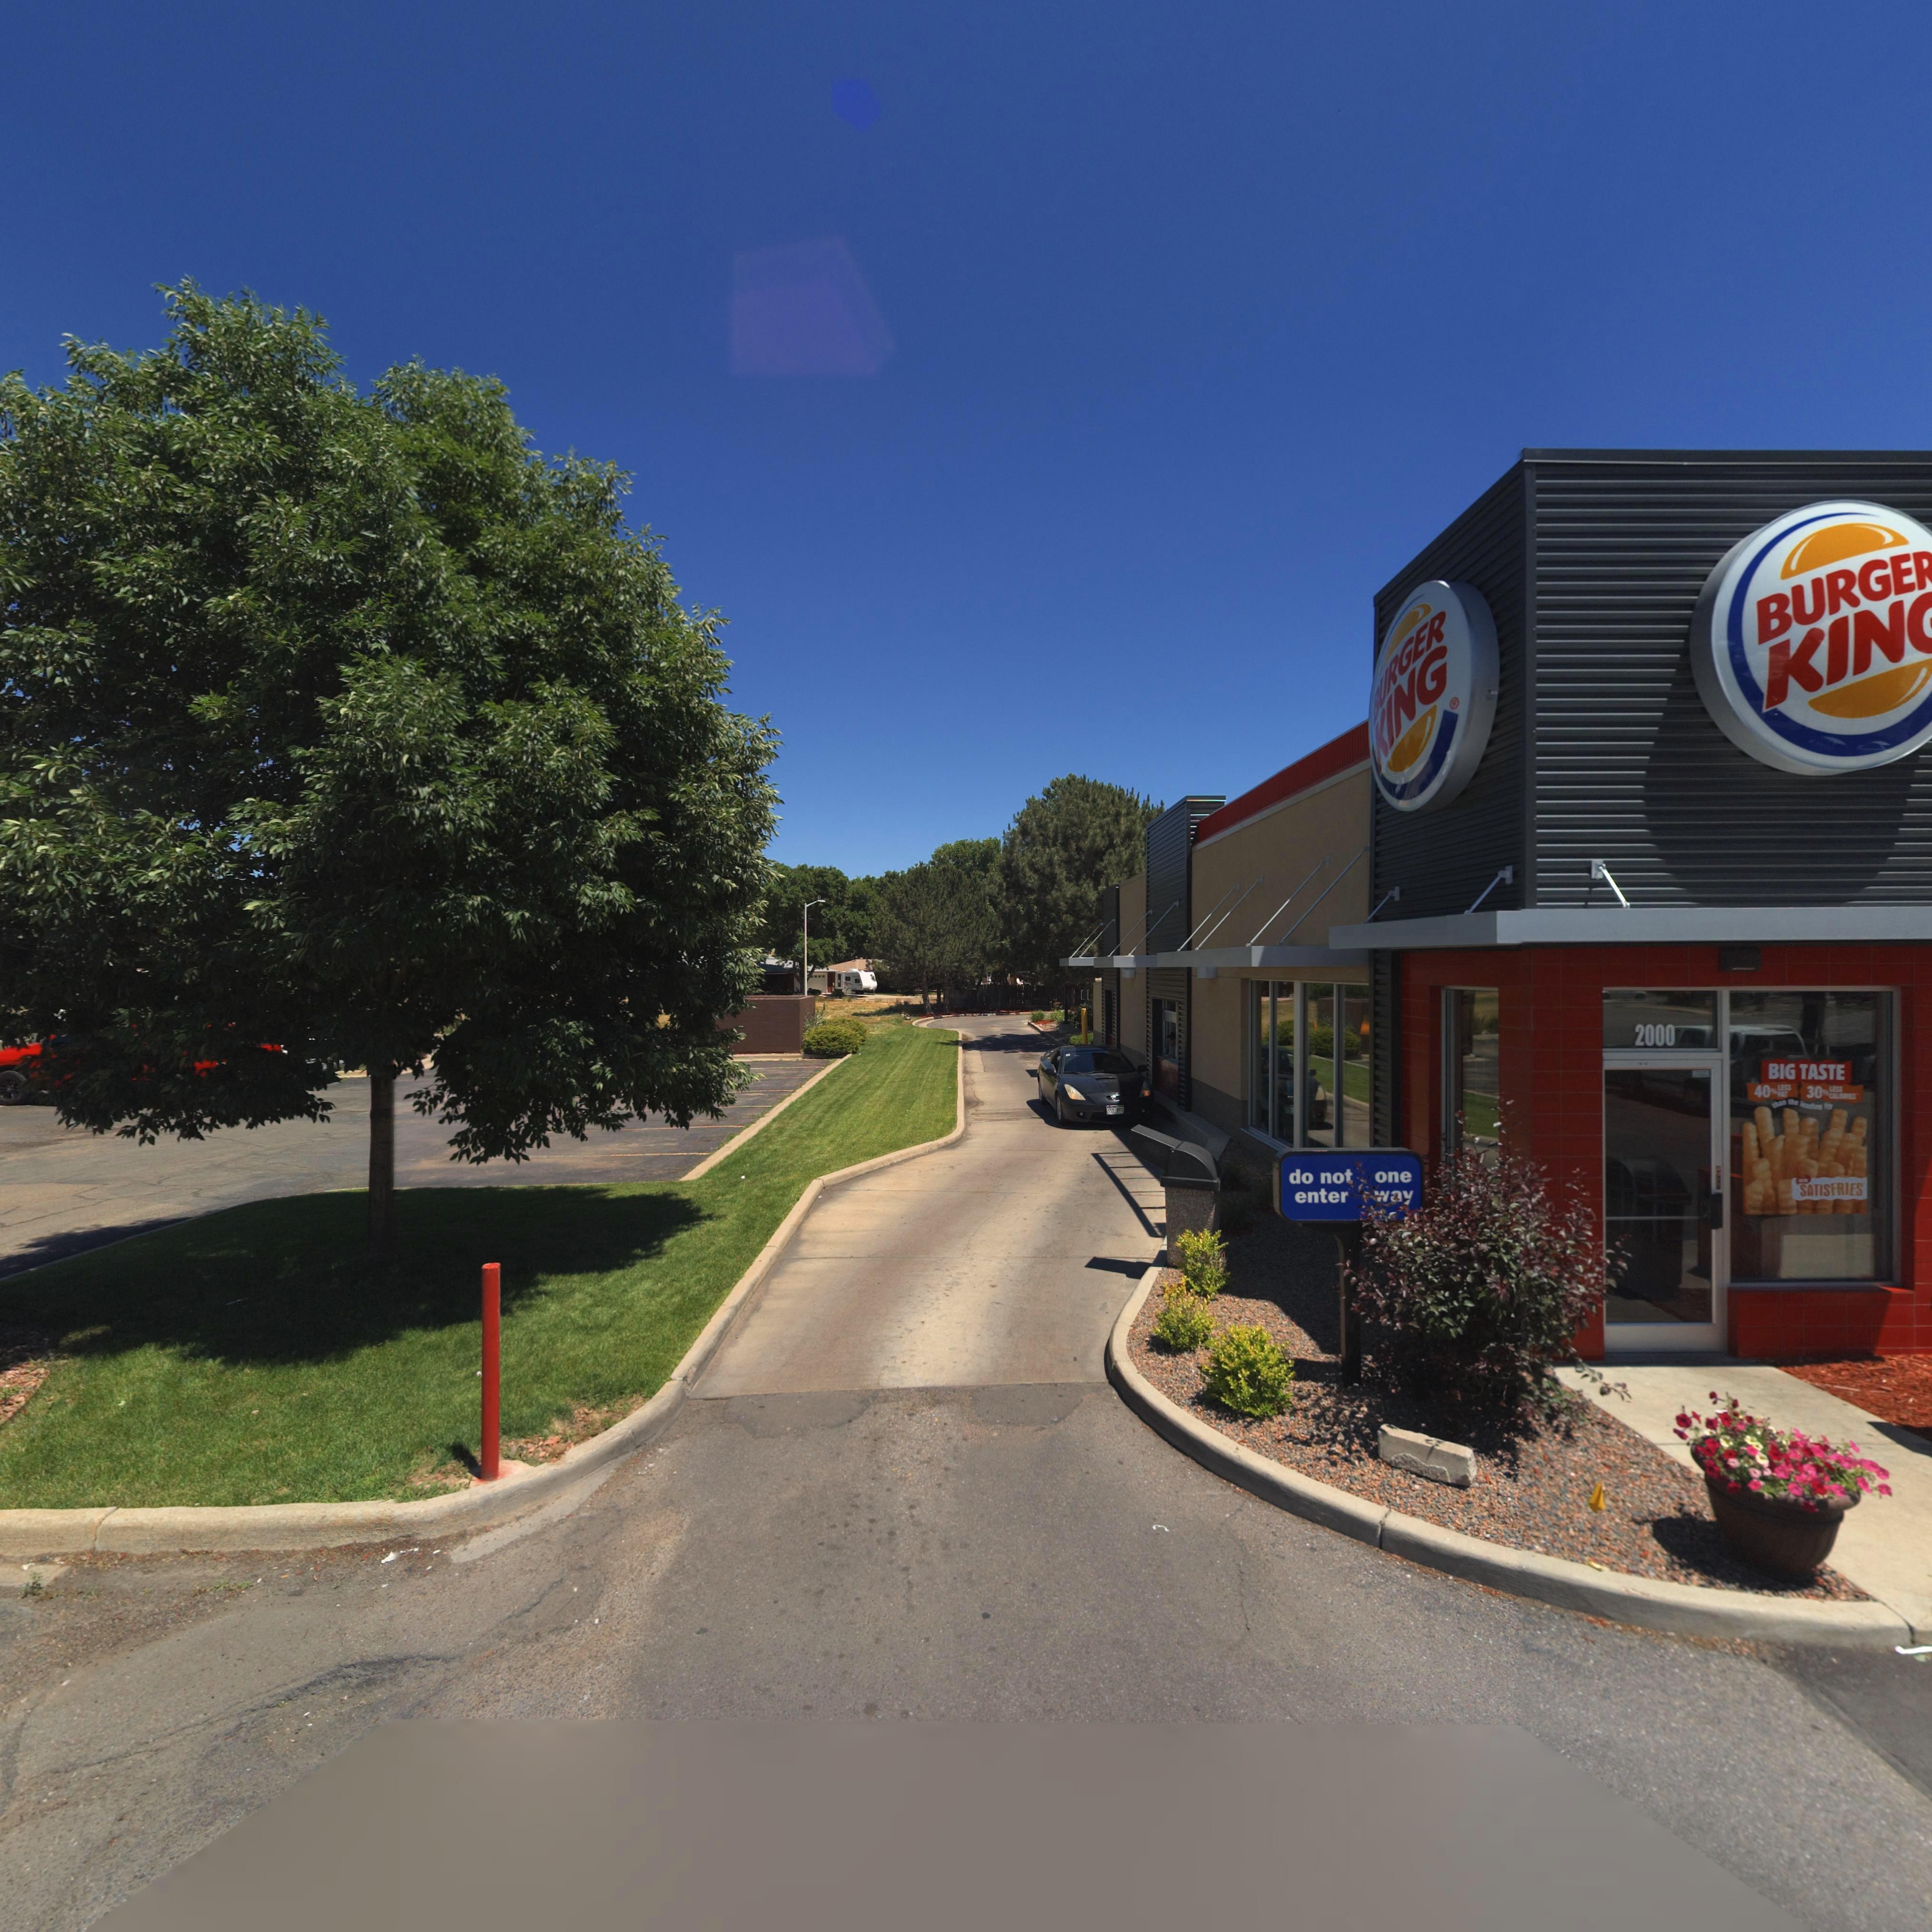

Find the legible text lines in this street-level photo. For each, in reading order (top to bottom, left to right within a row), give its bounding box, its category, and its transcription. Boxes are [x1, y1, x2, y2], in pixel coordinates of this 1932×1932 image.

[1371, 607, 1449, 722] BusinessName: BURGER
[1372, 643, 1449, 776] BusinessName: KING
[1752, 545, 1932, 650] BusinessName: BURGE*
[1761, 588, 1932, 712] BusinessName: KING
[1634, 1024, 1675, 1046] StreetNumber: 2000